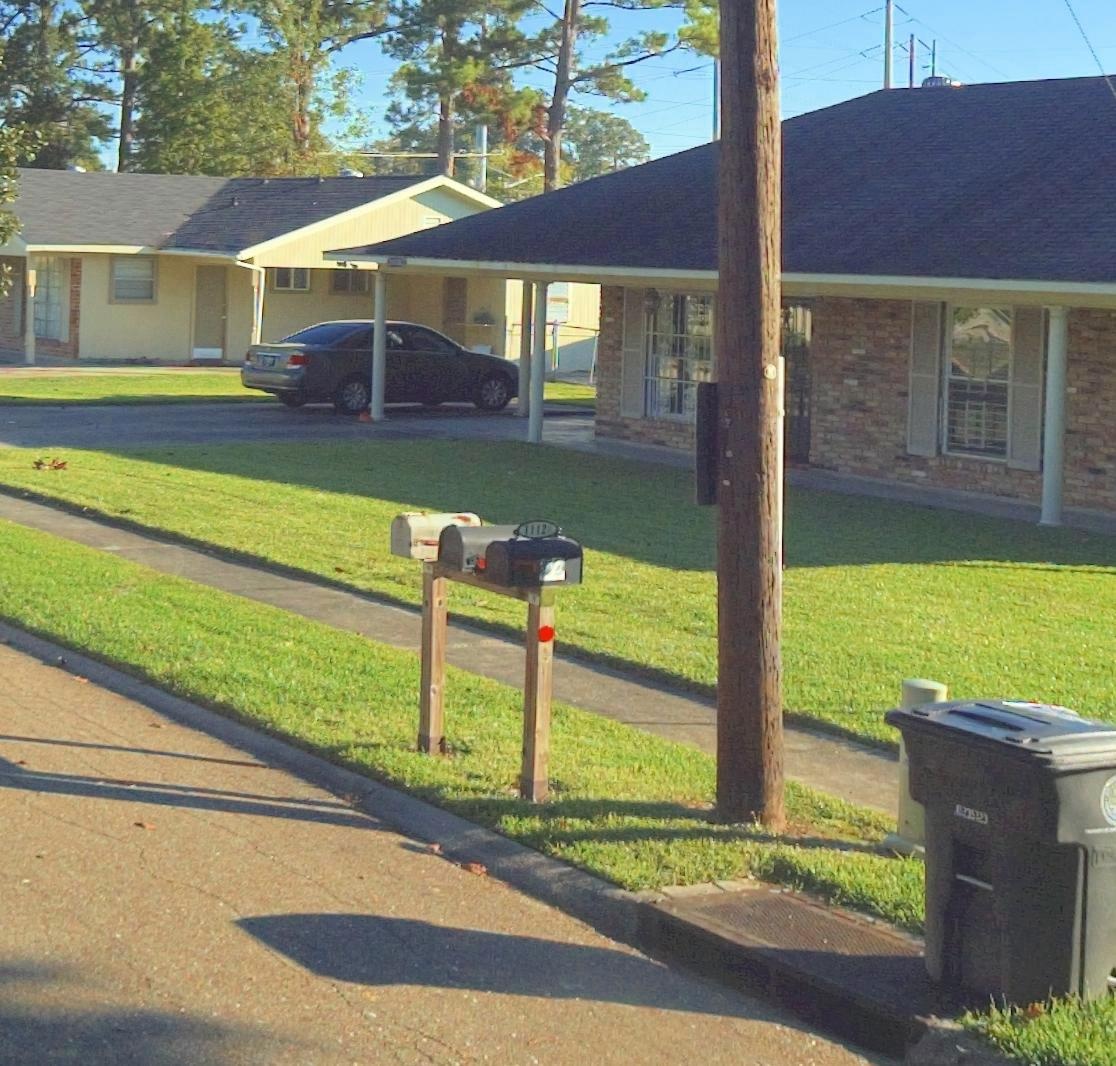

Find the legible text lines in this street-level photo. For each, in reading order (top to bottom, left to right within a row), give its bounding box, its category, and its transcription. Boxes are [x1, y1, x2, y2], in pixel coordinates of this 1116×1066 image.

[524, 522, 548, 537] StreetNumber: 1112